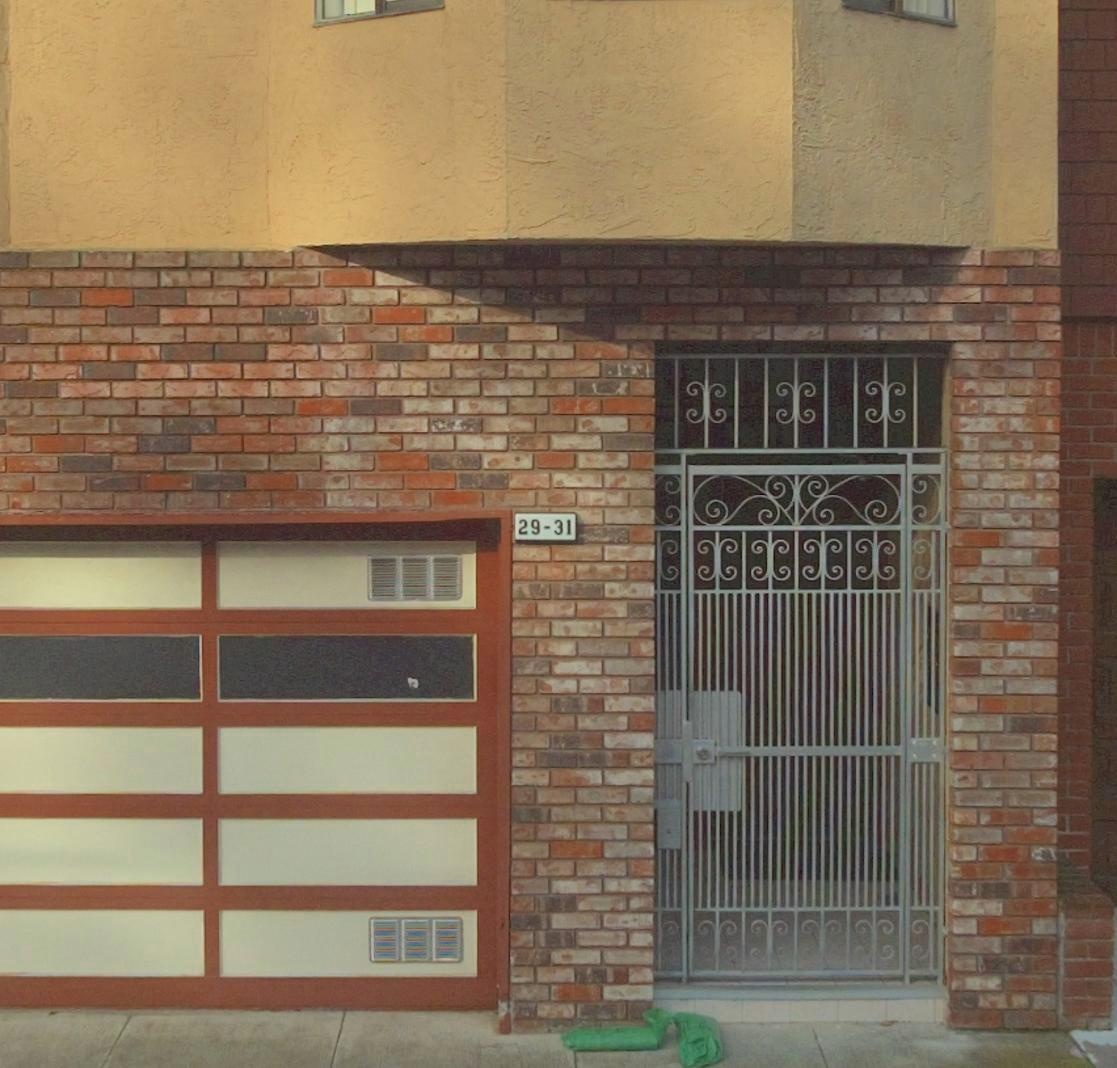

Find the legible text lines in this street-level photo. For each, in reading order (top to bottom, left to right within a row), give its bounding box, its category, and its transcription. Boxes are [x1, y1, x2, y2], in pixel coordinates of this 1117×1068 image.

[515, 517, 574, 538] StreetNumber: 29-31